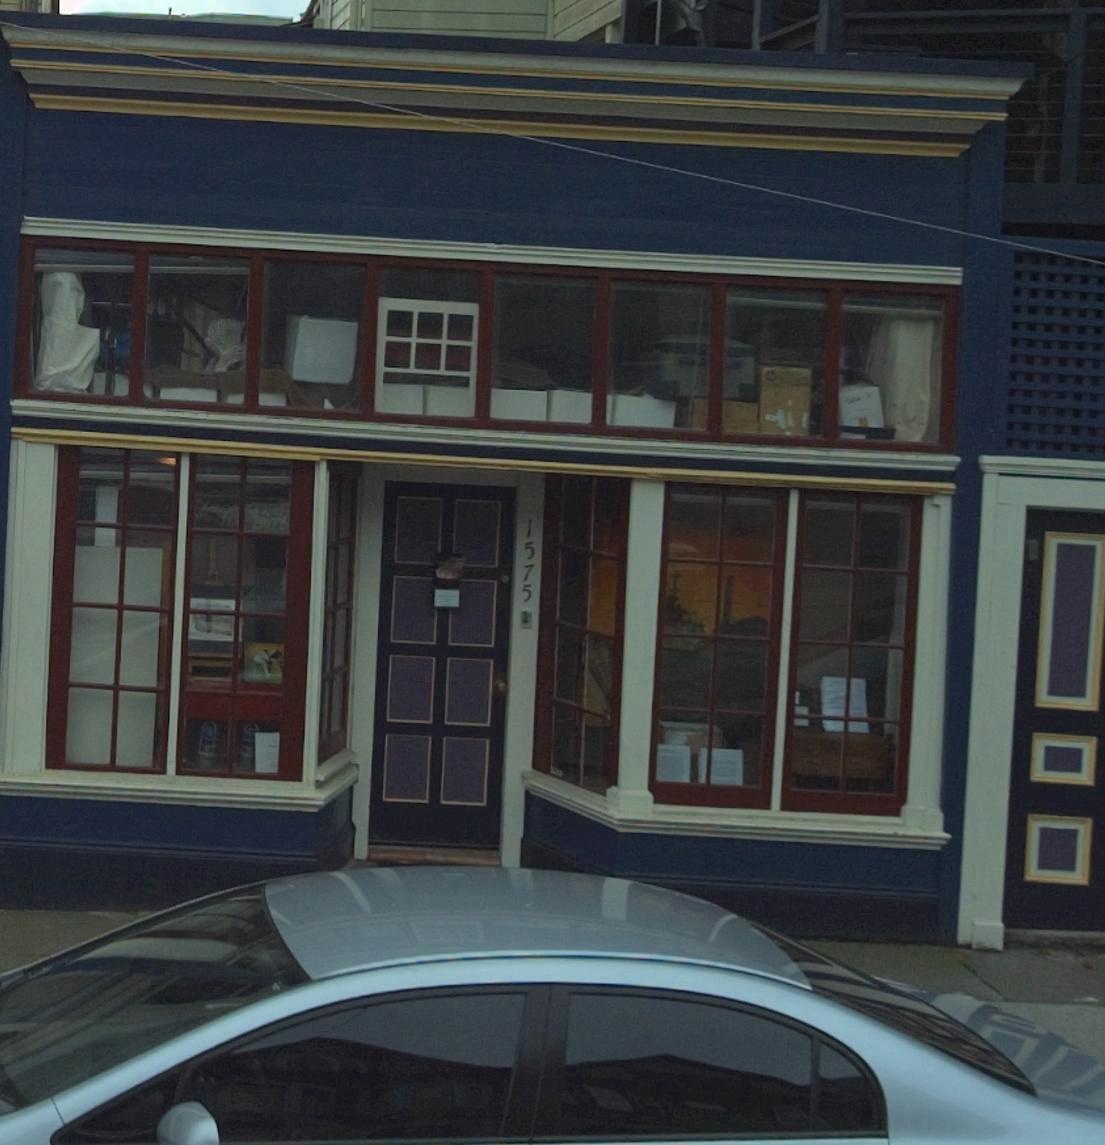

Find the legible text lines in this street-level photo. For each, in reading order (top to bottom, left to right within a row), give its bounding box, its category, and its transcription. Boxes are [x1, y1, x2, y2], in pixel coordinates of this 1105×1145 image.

[521, 518, 536, 604] StreetNumber: 1575